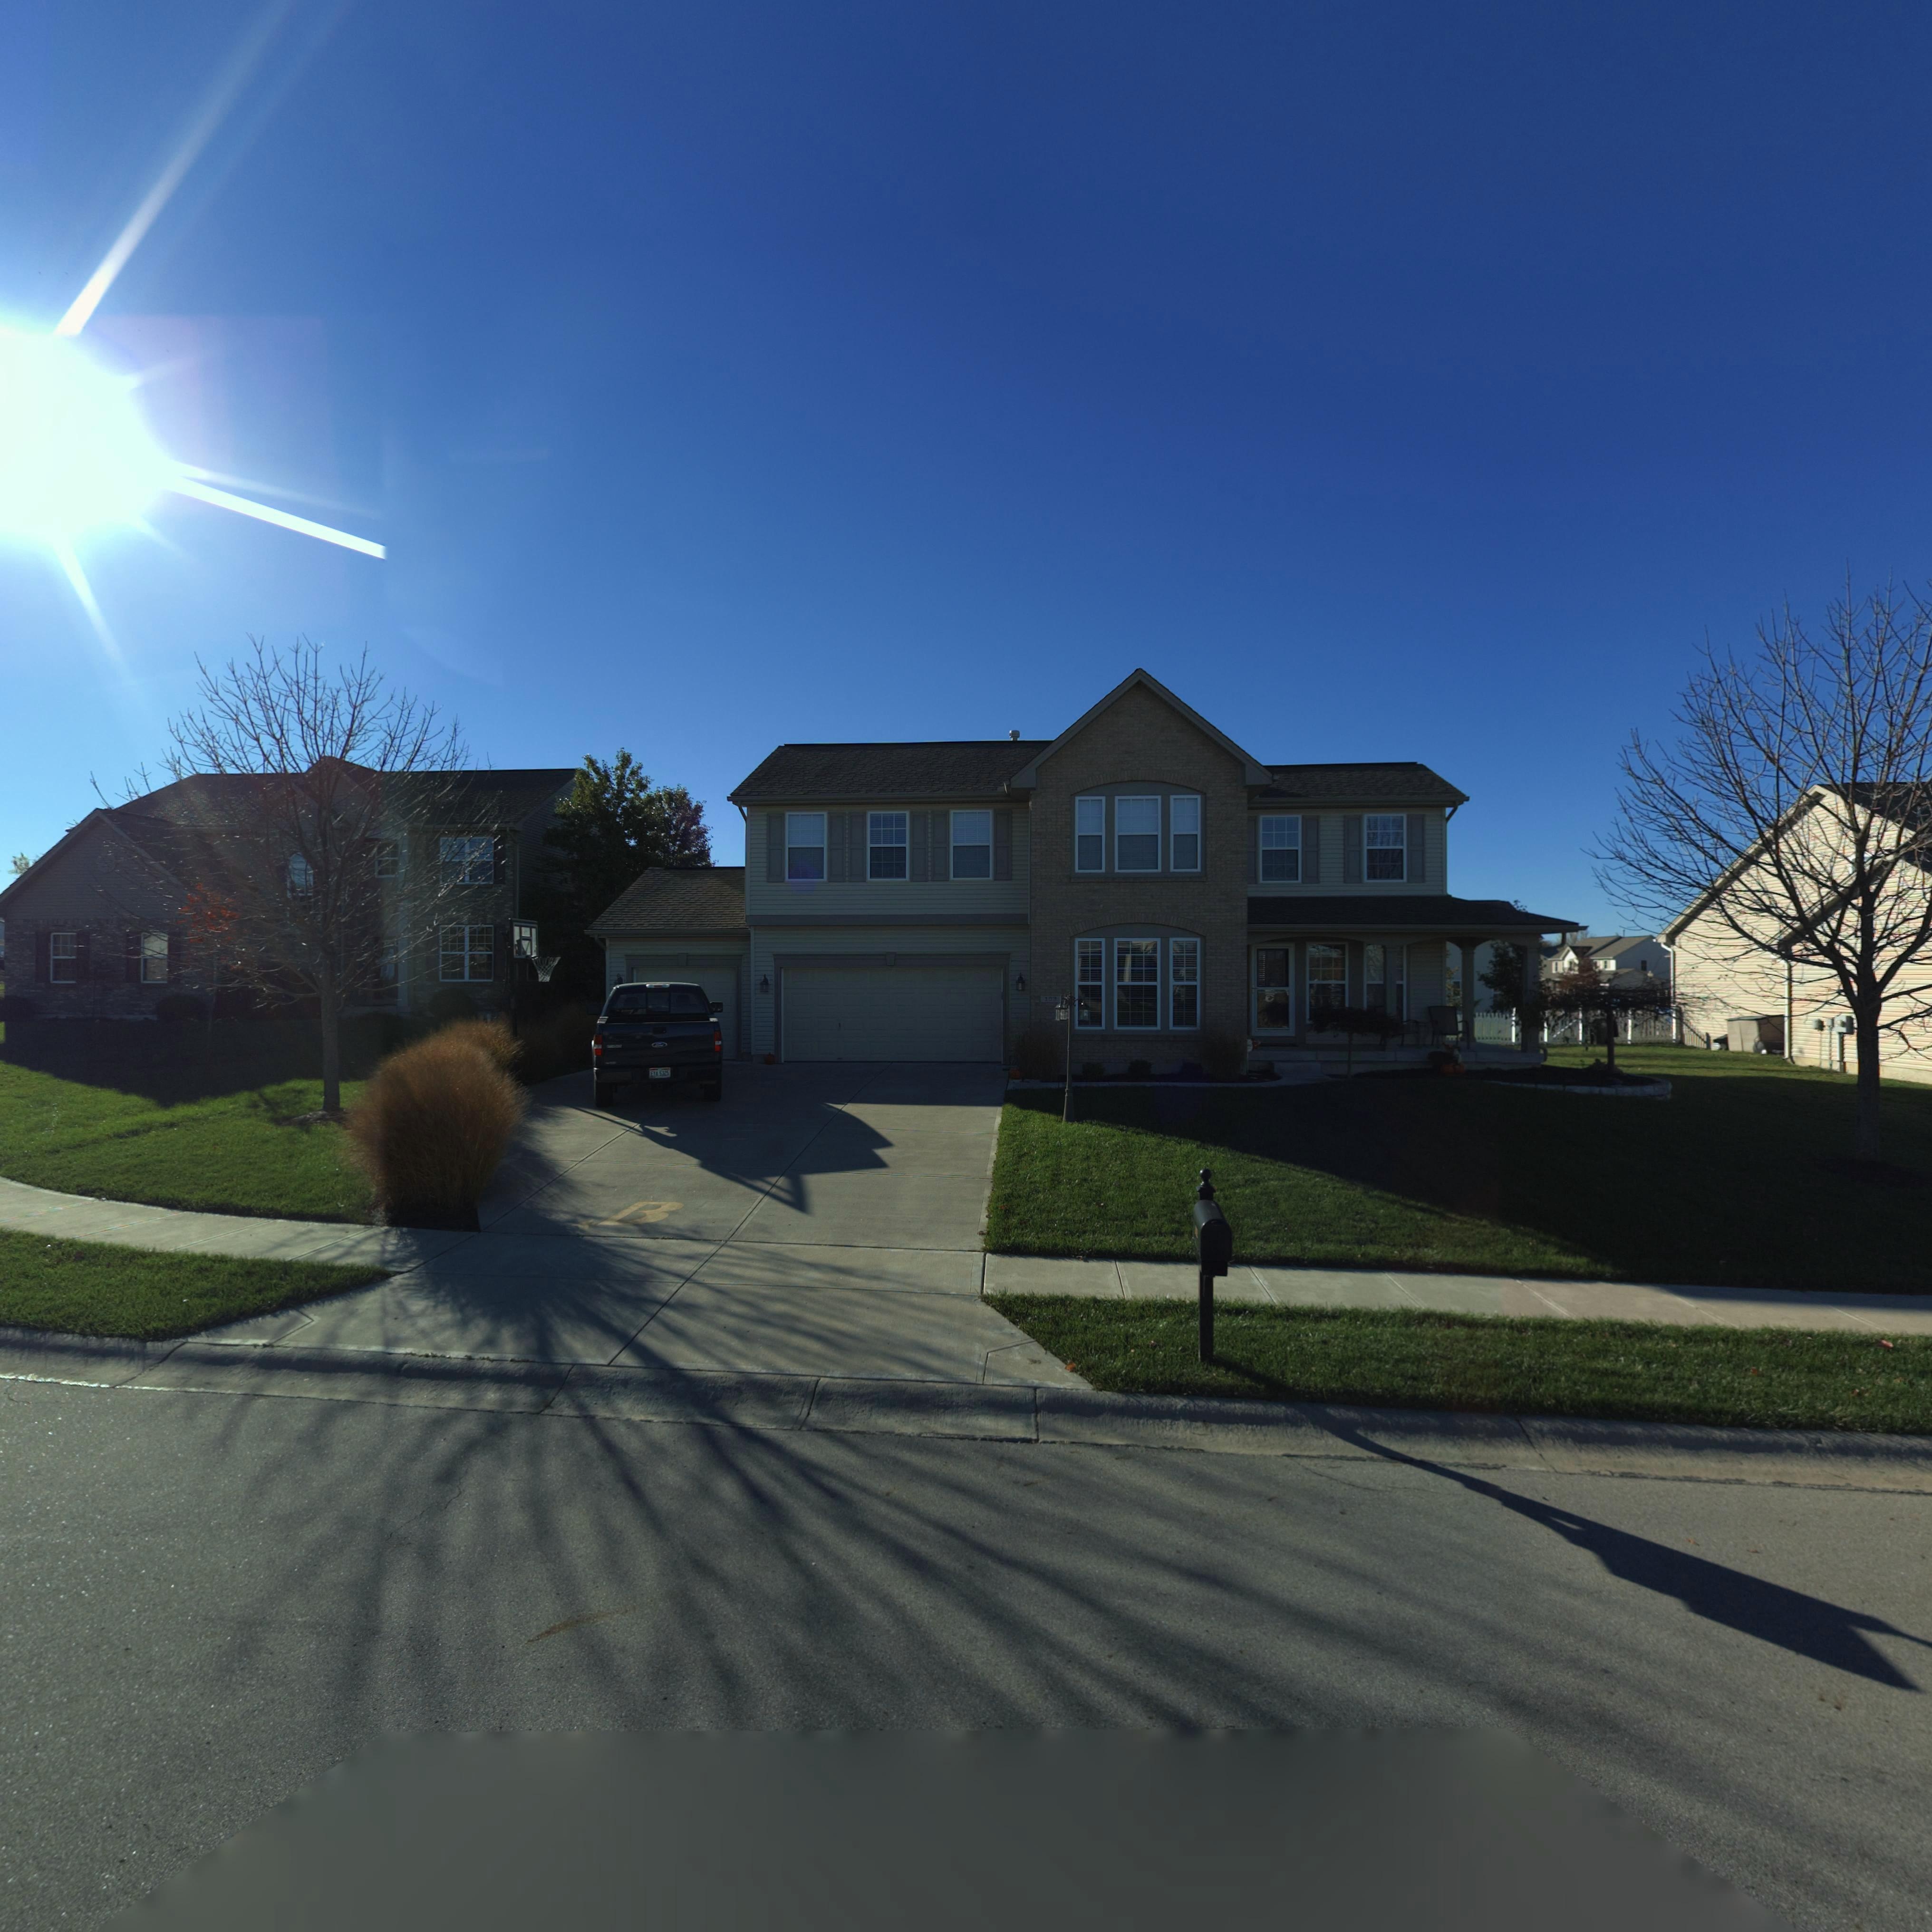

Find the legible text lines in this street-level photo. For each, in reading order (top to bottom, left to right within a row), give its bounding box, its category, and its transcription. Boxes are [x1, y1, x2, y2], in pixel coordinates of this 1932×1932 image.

[1044, 995, 1058, 1002] StreetNumber: 103
[650, 1070, 669, 1077] None: E*A 5325